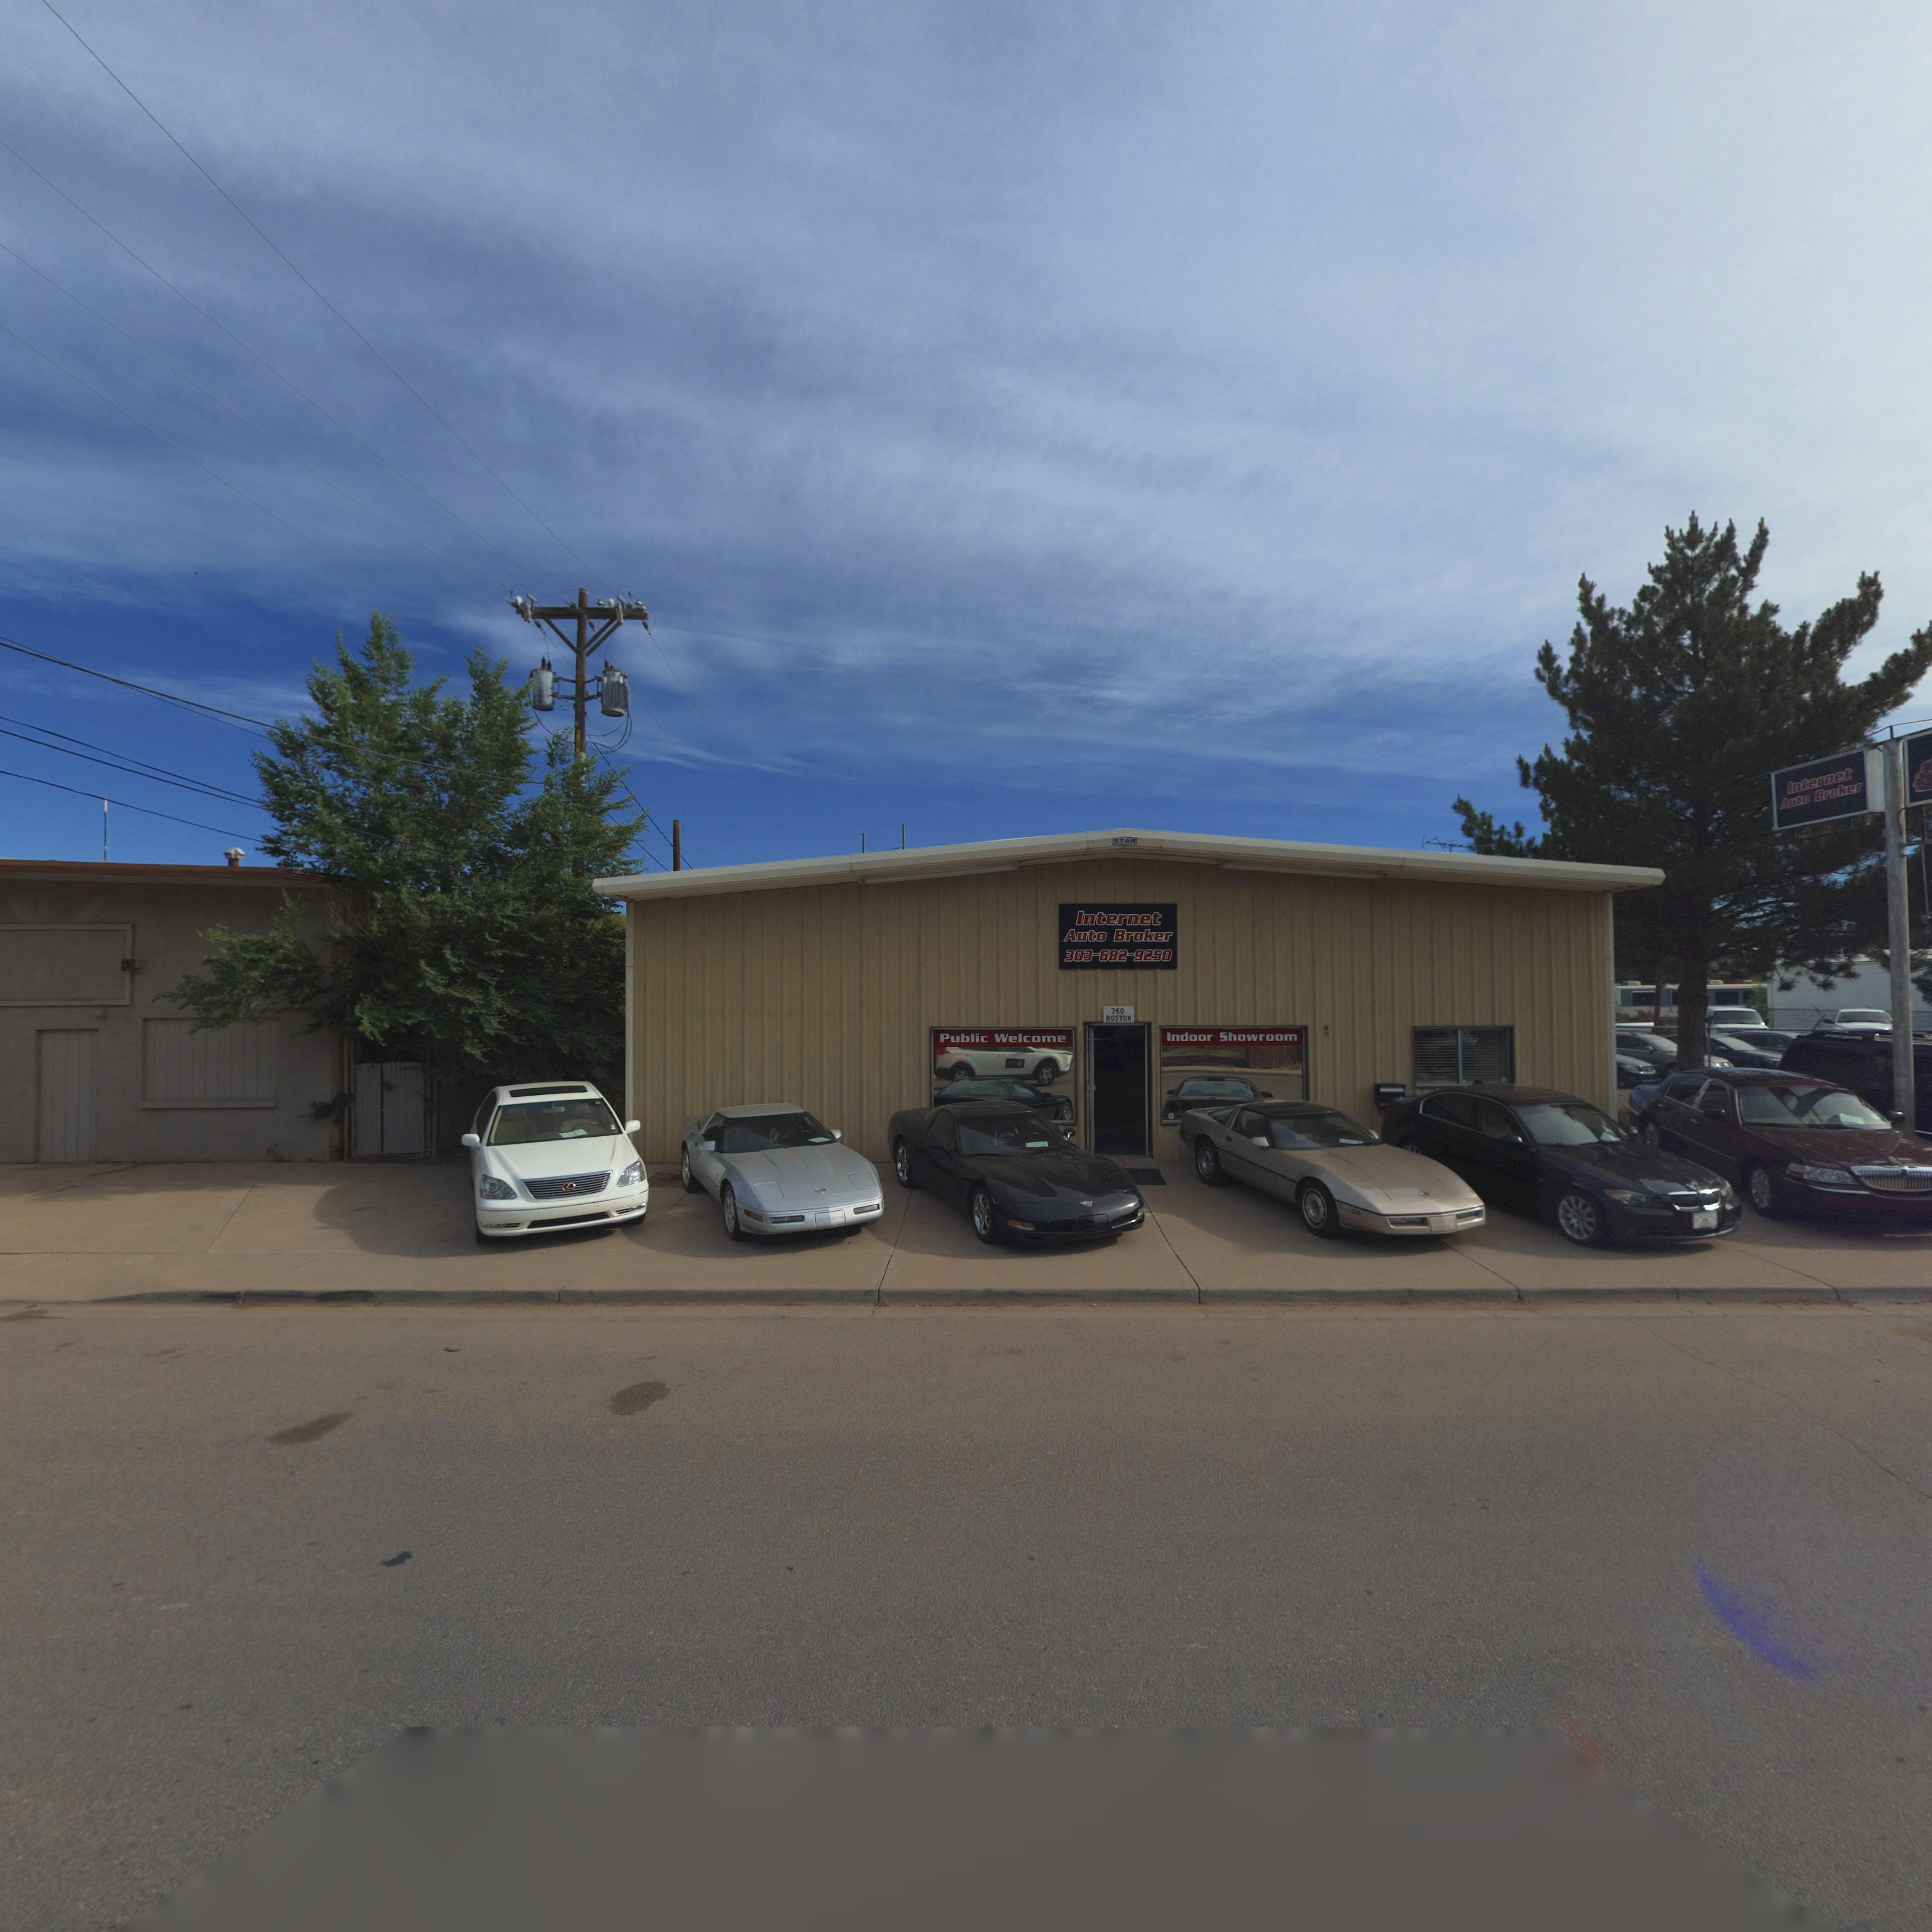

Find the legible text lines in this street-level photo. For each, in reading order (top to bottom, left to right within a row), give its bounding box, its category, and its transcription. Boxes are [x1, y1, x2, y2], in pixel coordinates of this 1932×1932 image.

[1786, 766, 1854, 795] BusinessName: Internet
[1778, 780, 1865, 811] BusinessName: Auto Broker
[1075, 909, 1163, 926] BusinessName: Internet
[1062, 927, 1173, 942] BusinessName: Auto Broker
[1111, 1007, 1125, 1014] StreetNumber: 740
[1105, 1014, 1132, 1021] StreetName: BOSTON